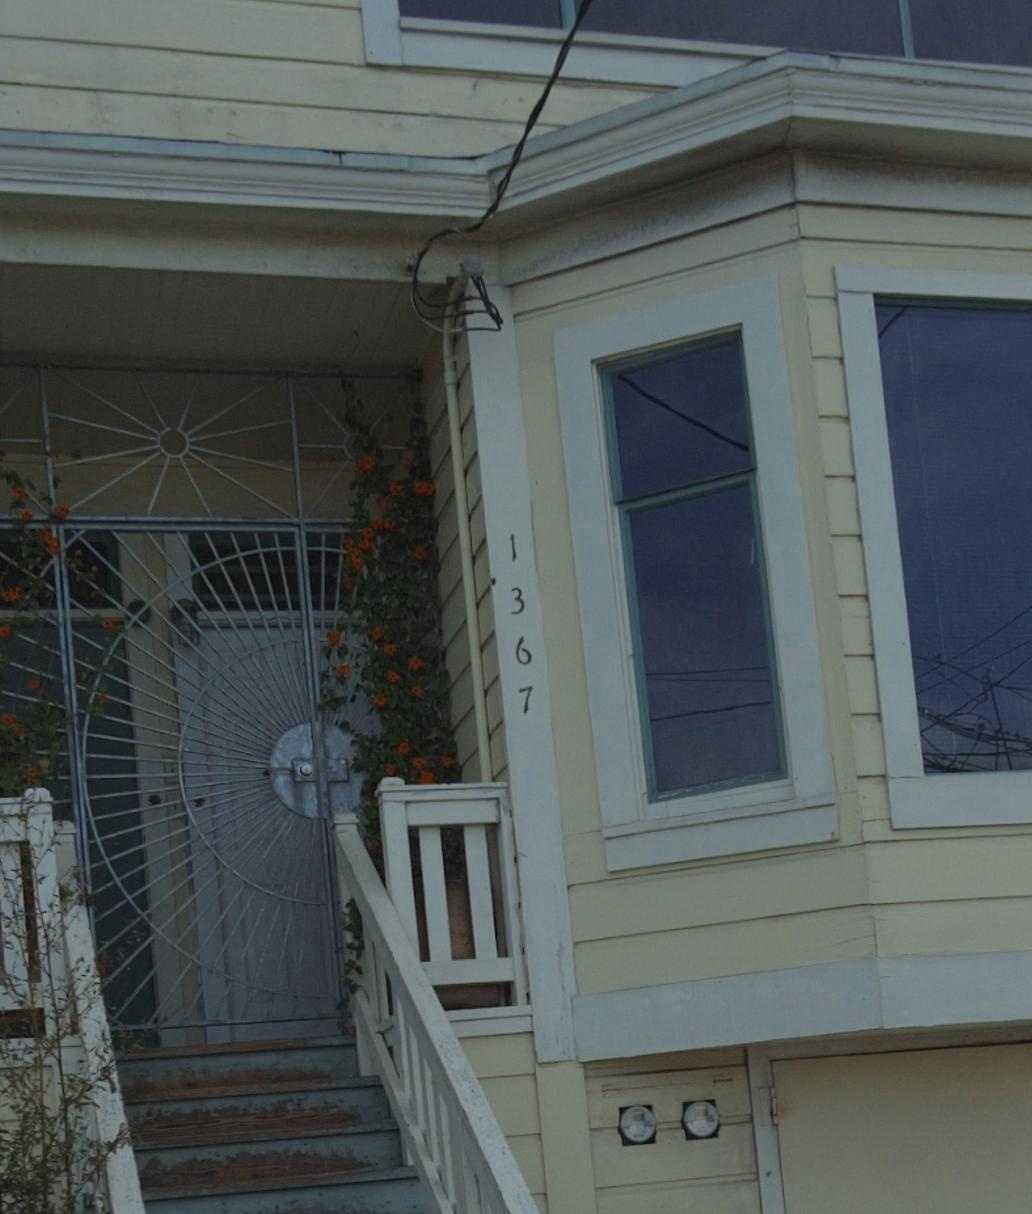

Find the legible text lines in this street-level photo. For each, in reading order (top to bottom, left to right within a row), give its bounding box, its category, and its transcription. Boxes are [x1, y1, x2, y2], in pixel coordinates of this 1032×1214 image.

[500, 532, 538, 717] StreetNumber: 1367